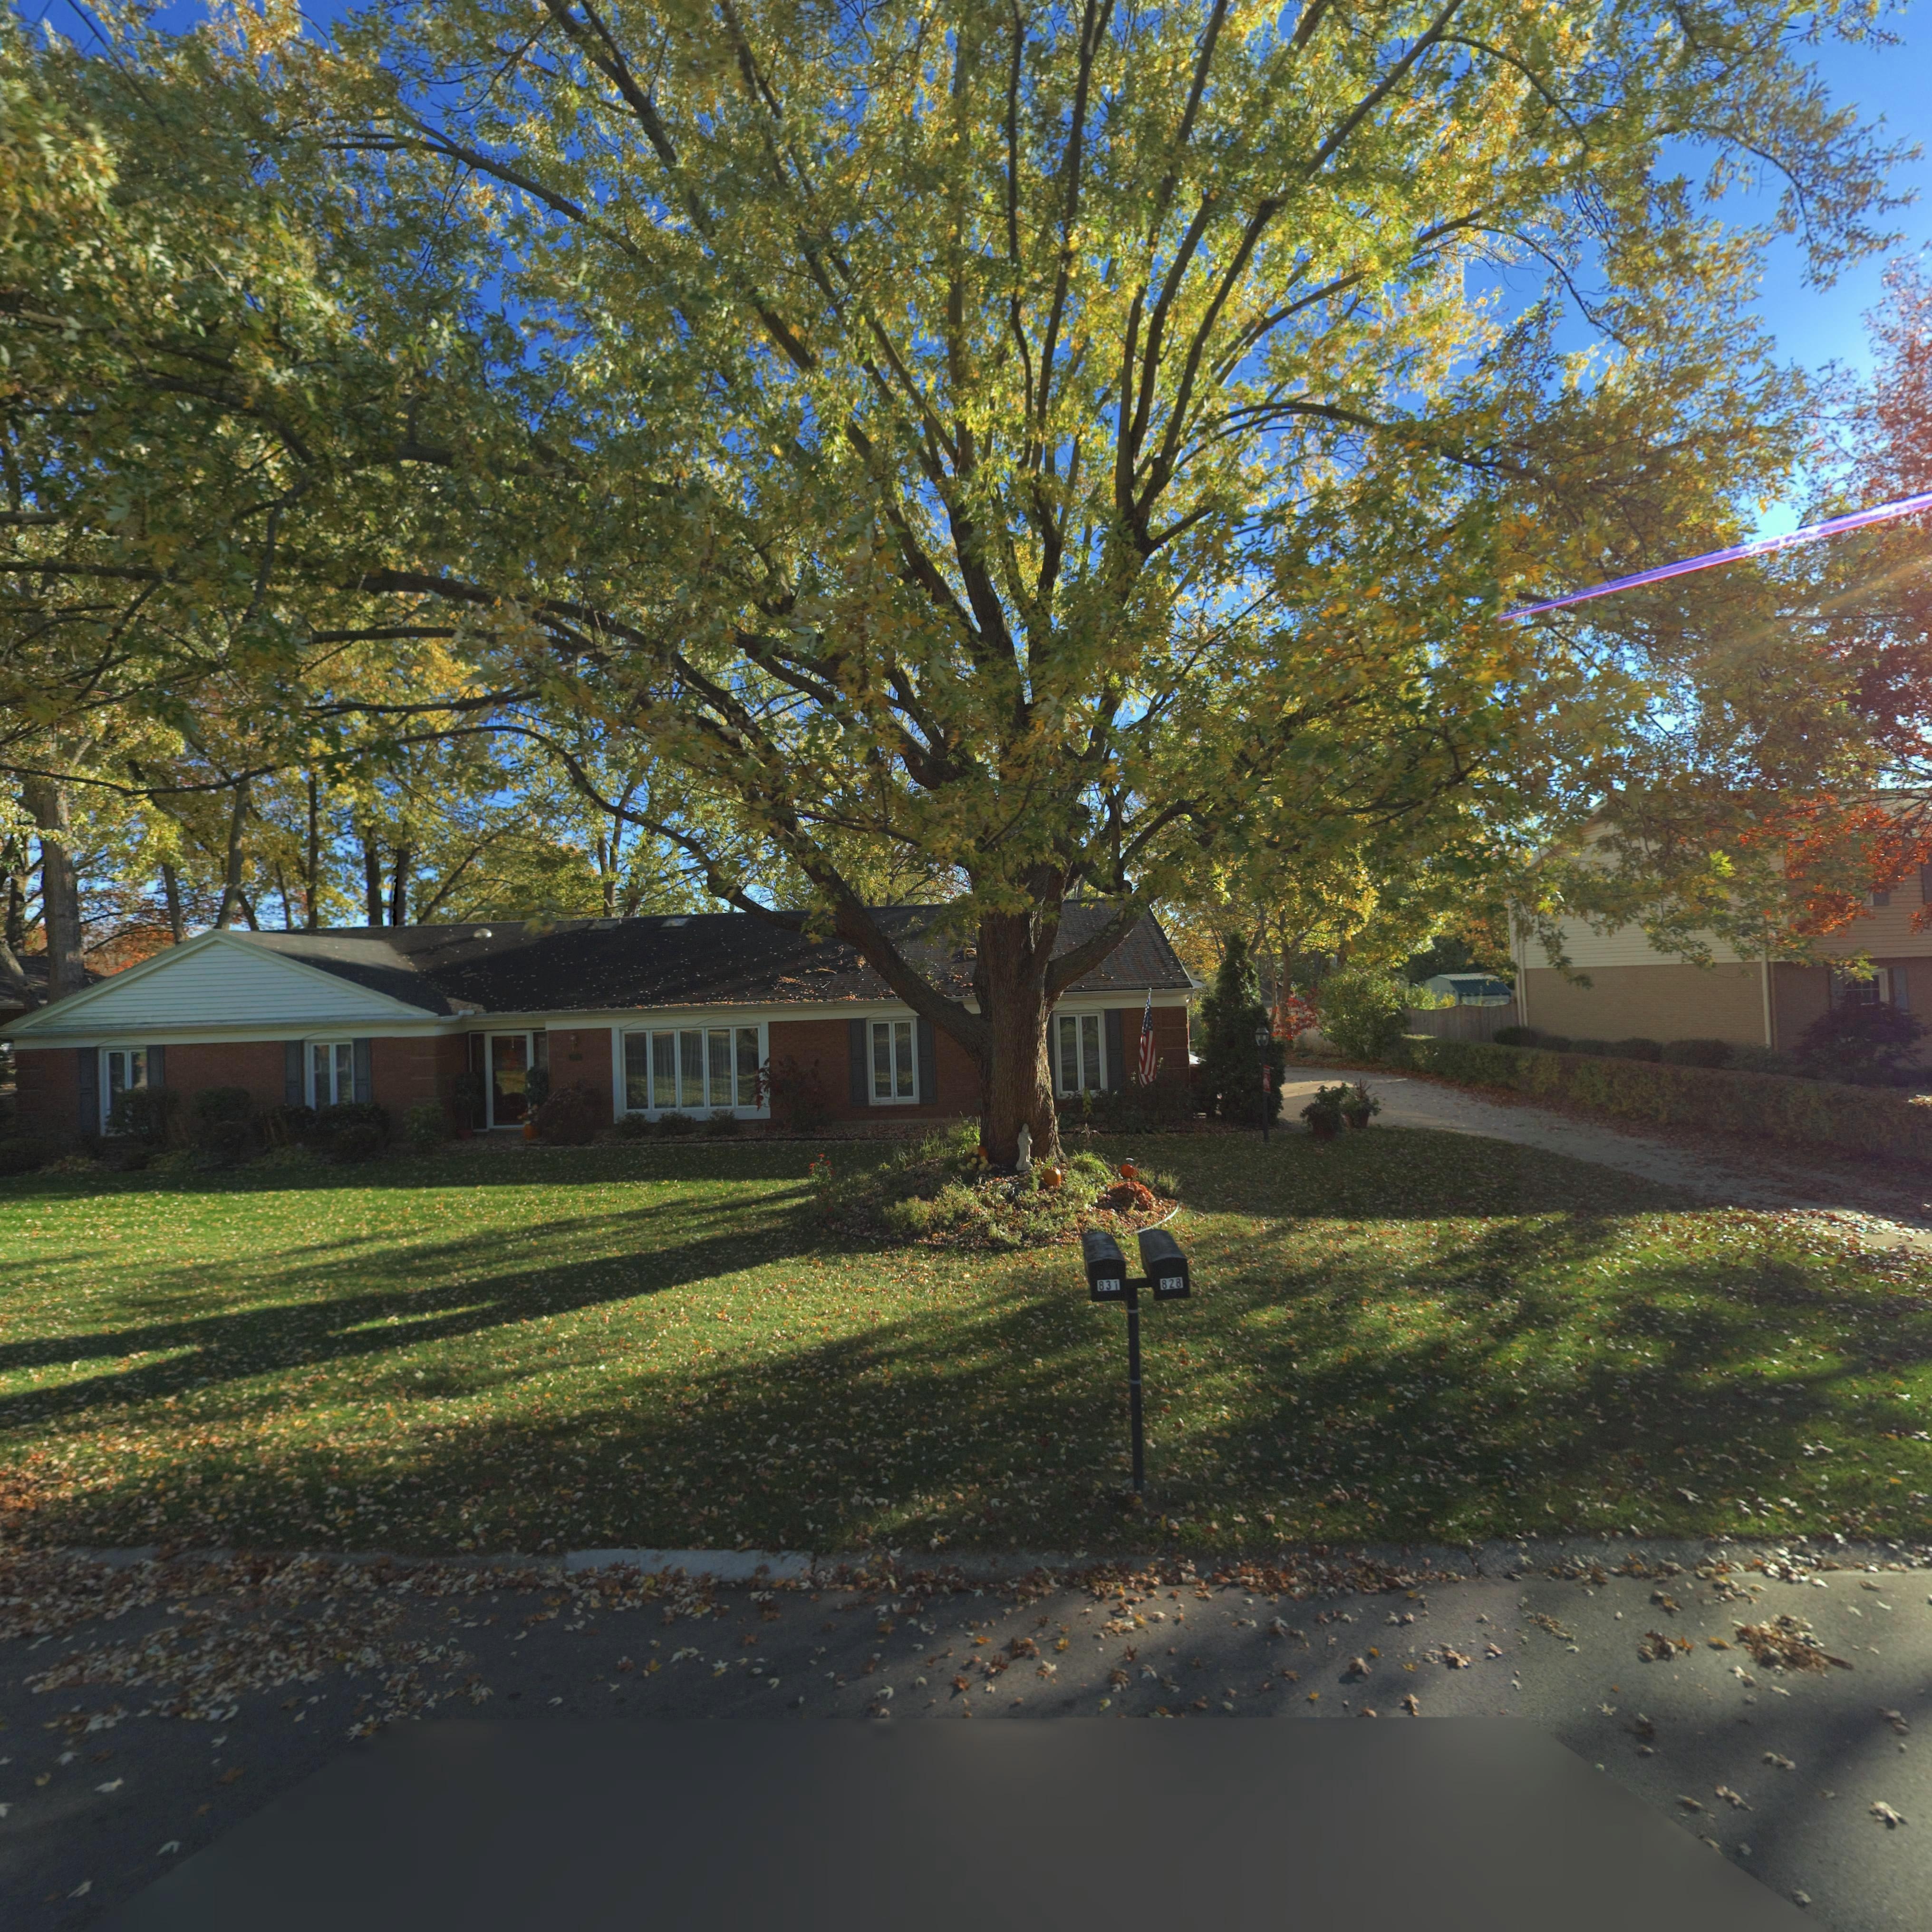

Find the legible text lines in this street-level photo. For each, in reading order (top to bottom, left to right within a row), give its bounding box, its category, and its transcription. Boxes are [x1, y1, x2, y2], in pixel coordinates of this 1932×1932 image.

[1097, 1280, 1119, 1291] StreetNumber: 831
[1161, 1277, 1182, 1290] StreetNumber: 828